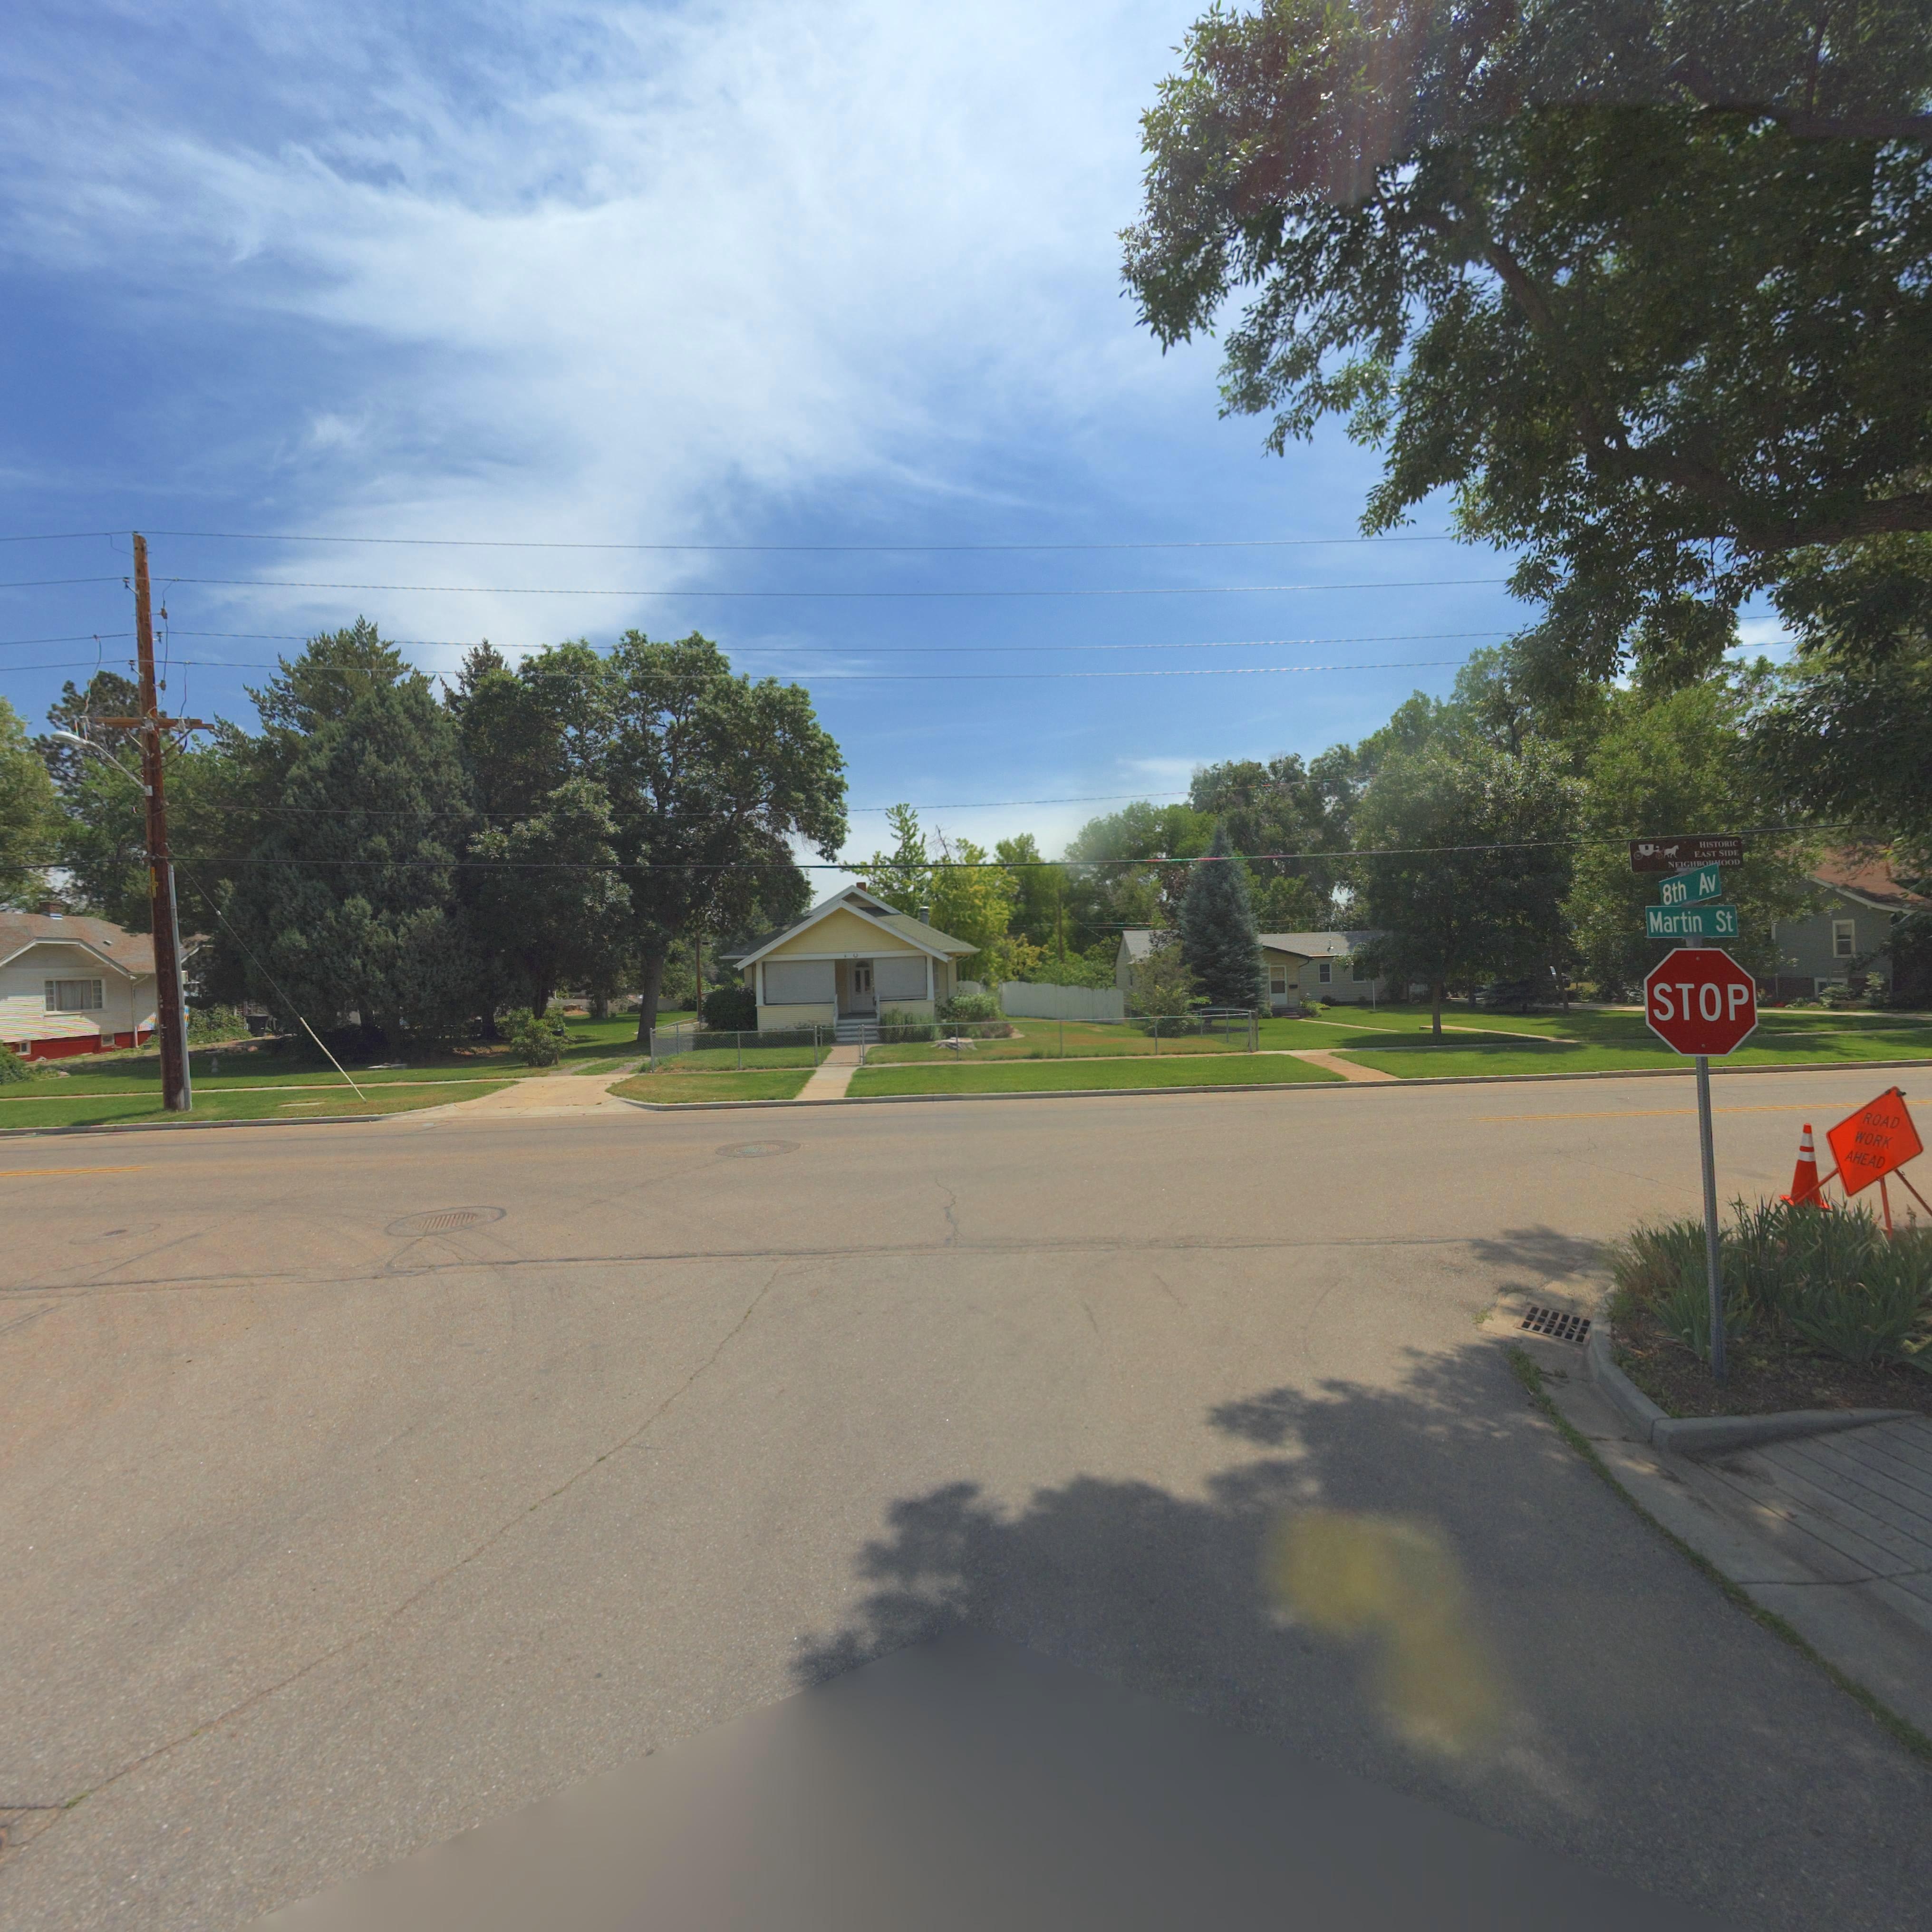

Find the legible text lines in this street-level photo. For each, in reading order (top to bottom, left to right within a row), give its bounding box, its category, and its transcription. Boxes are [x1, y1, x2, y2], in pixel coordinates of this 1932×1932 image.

[1662, 870, 1717, 907] StreetName: 8th Av
[1648, 909, 1735, 932] StreetName: Martin St
[852, 953, 859, 958] StreetNumber: 13